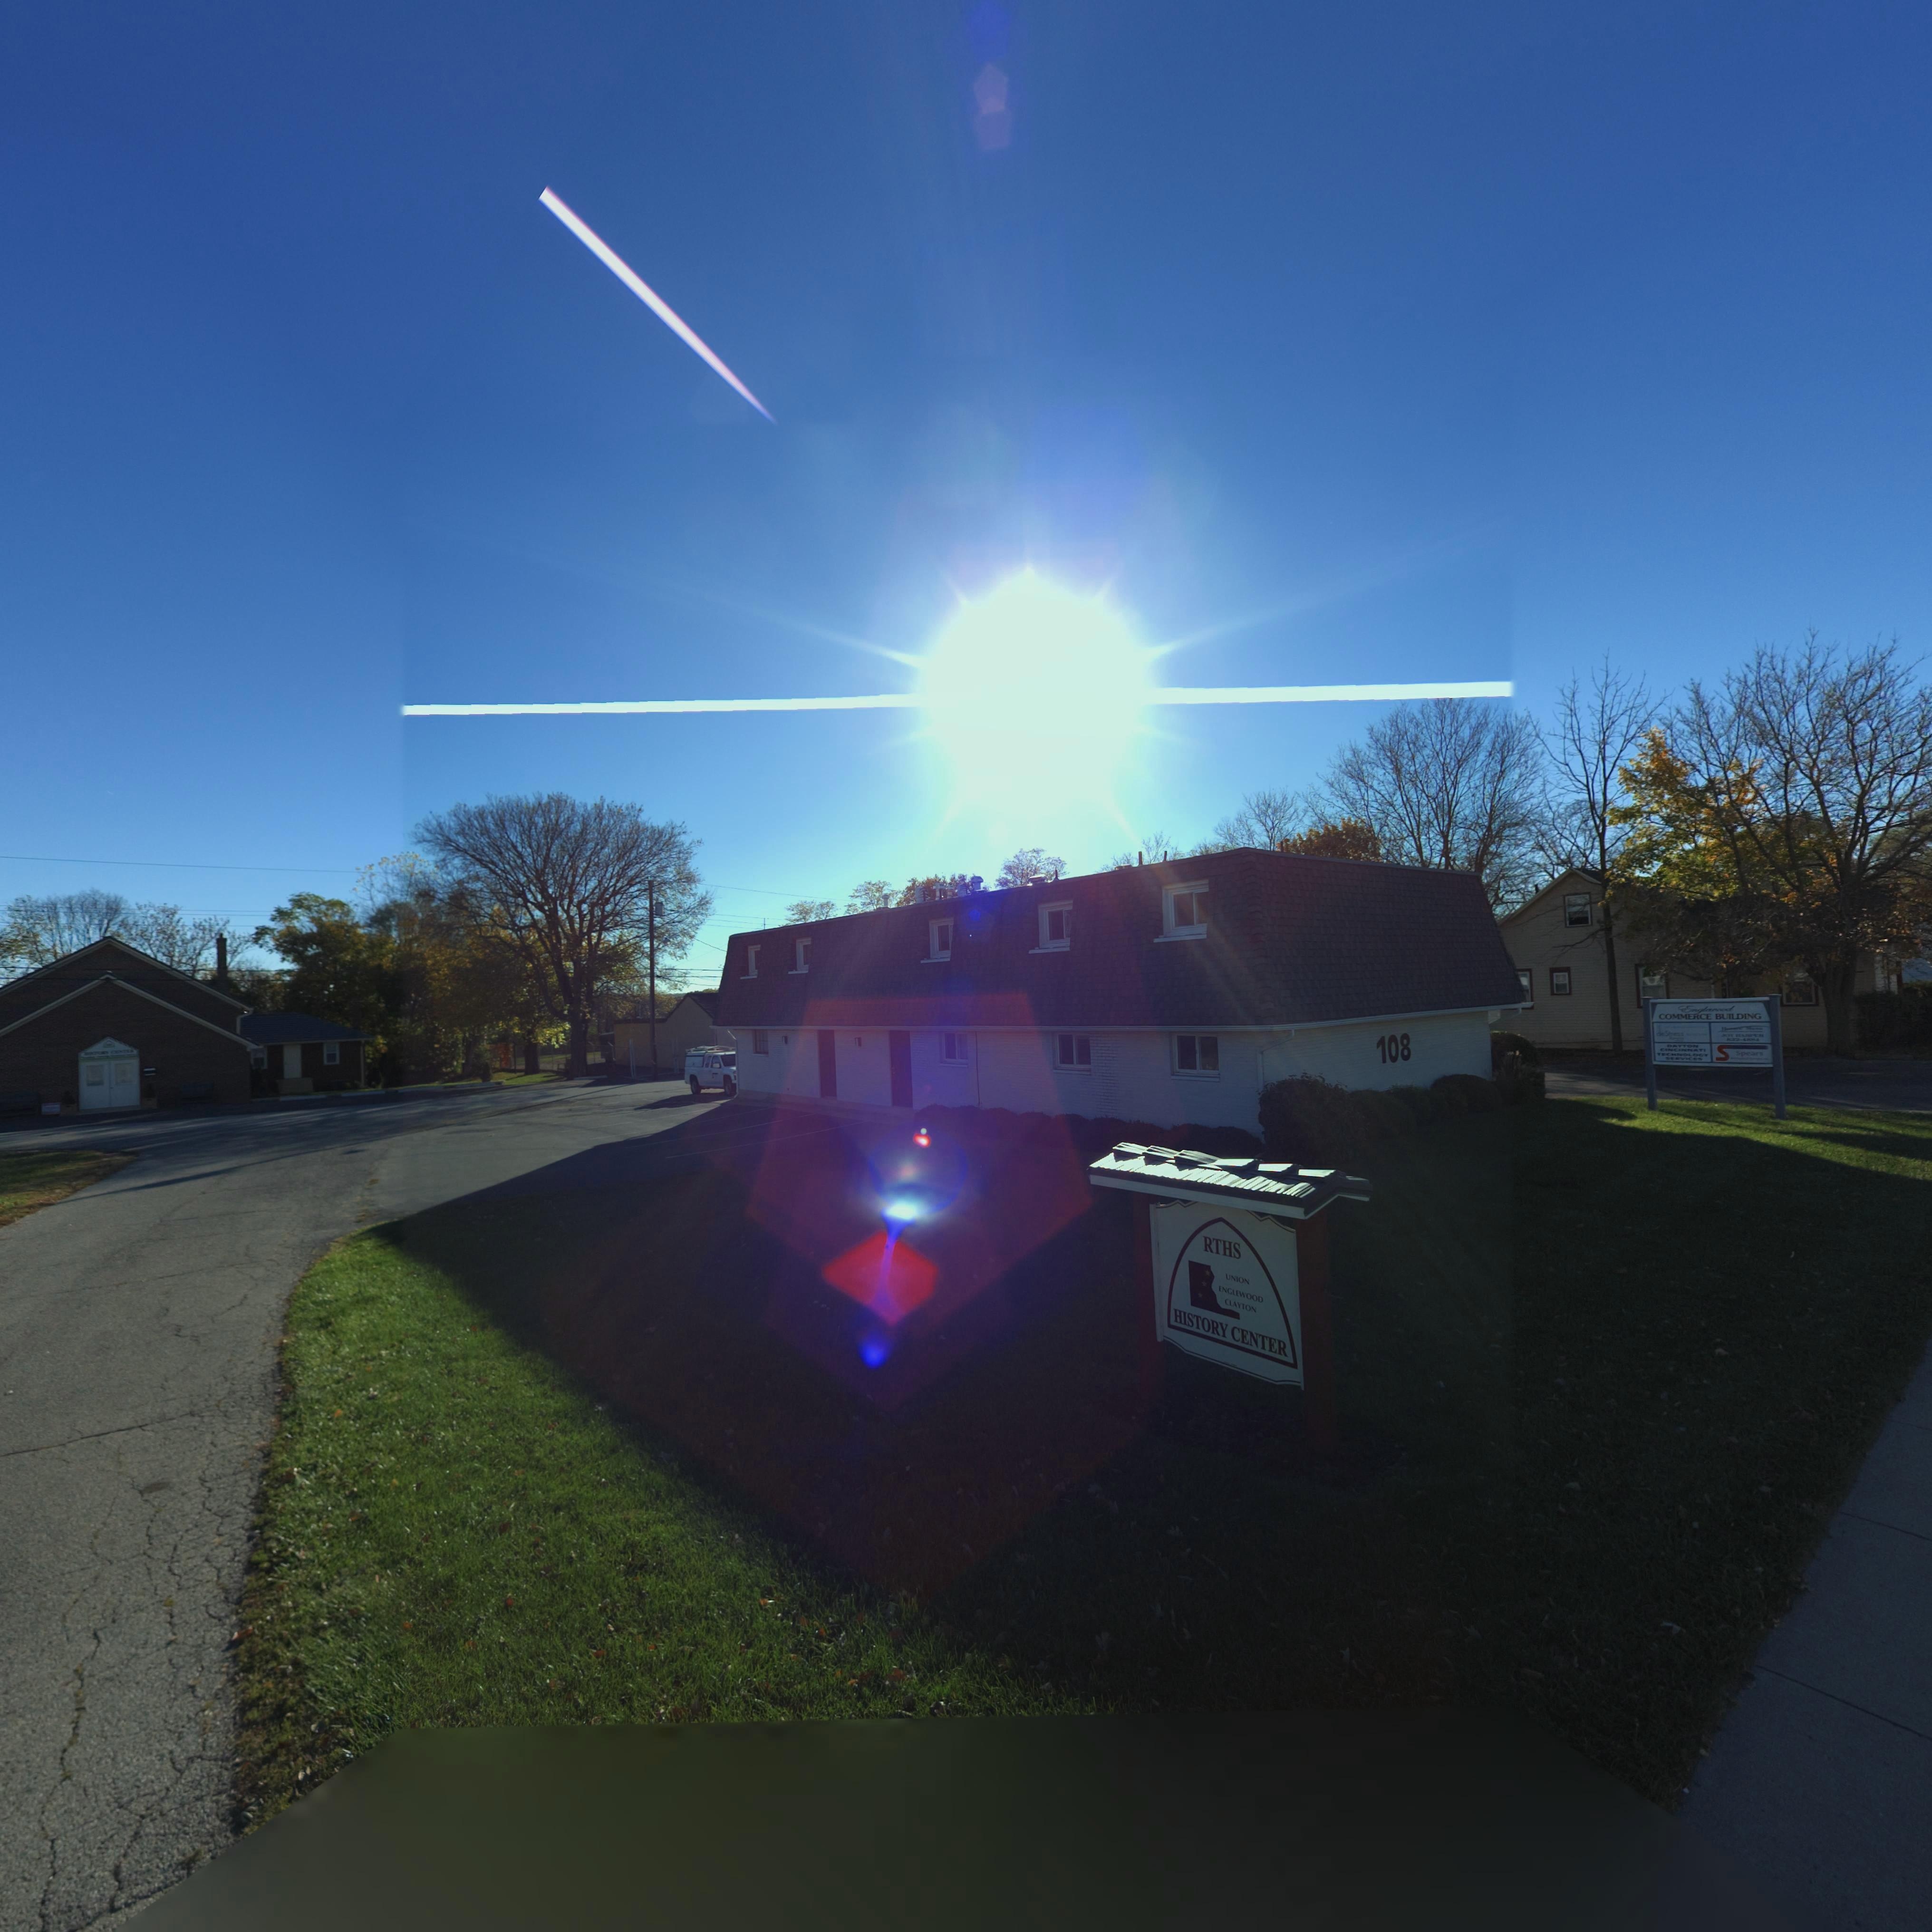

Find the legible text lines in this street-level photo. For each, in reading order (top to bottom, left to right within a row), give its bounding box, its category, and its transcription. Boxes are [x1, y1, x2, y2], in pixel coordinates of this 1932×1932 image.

[1376, 1032, 1411, 1064] StreetNumber: 108